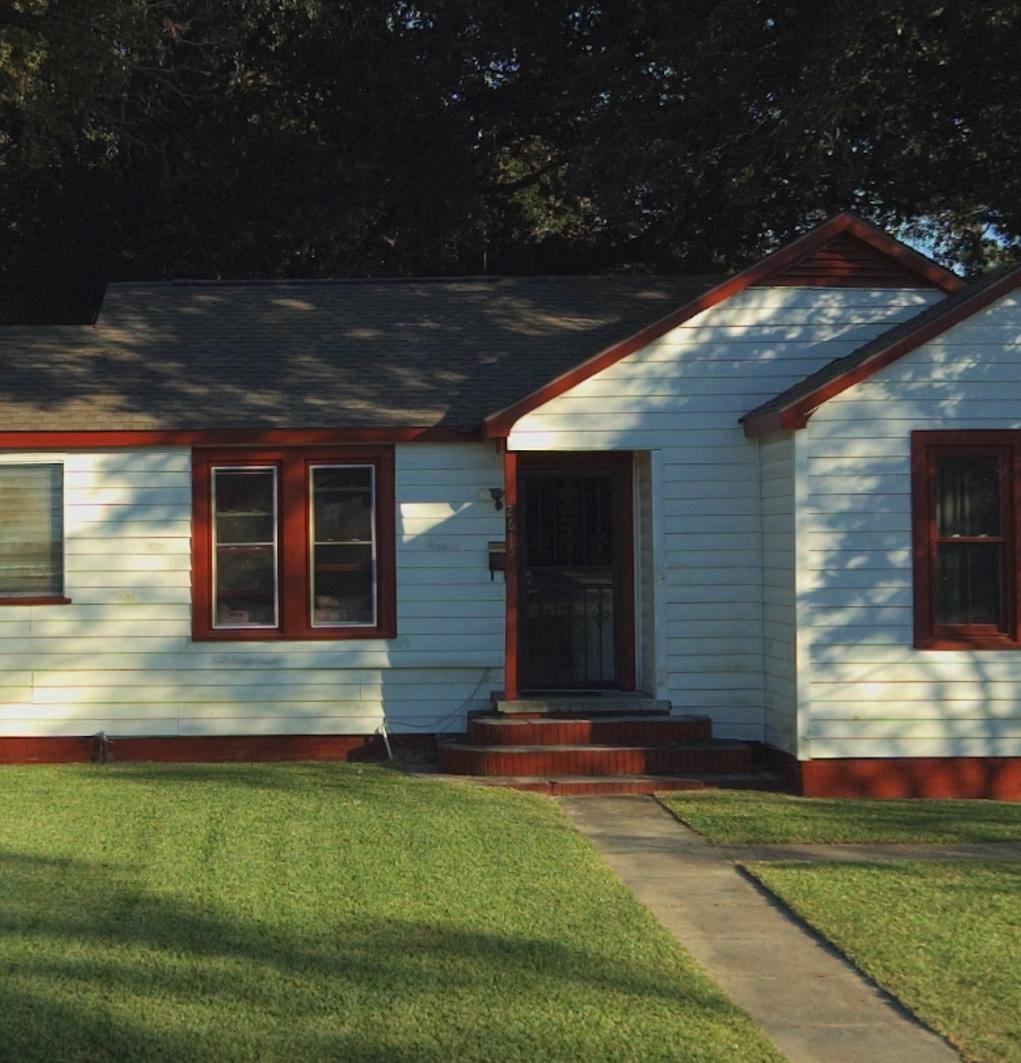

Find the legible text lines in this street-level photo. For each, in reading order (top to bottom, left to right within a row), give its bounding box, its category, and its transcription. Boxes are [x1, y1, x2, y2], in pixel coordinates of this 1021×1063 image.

[506, 503, 517, 558] StreetNumber: 2615